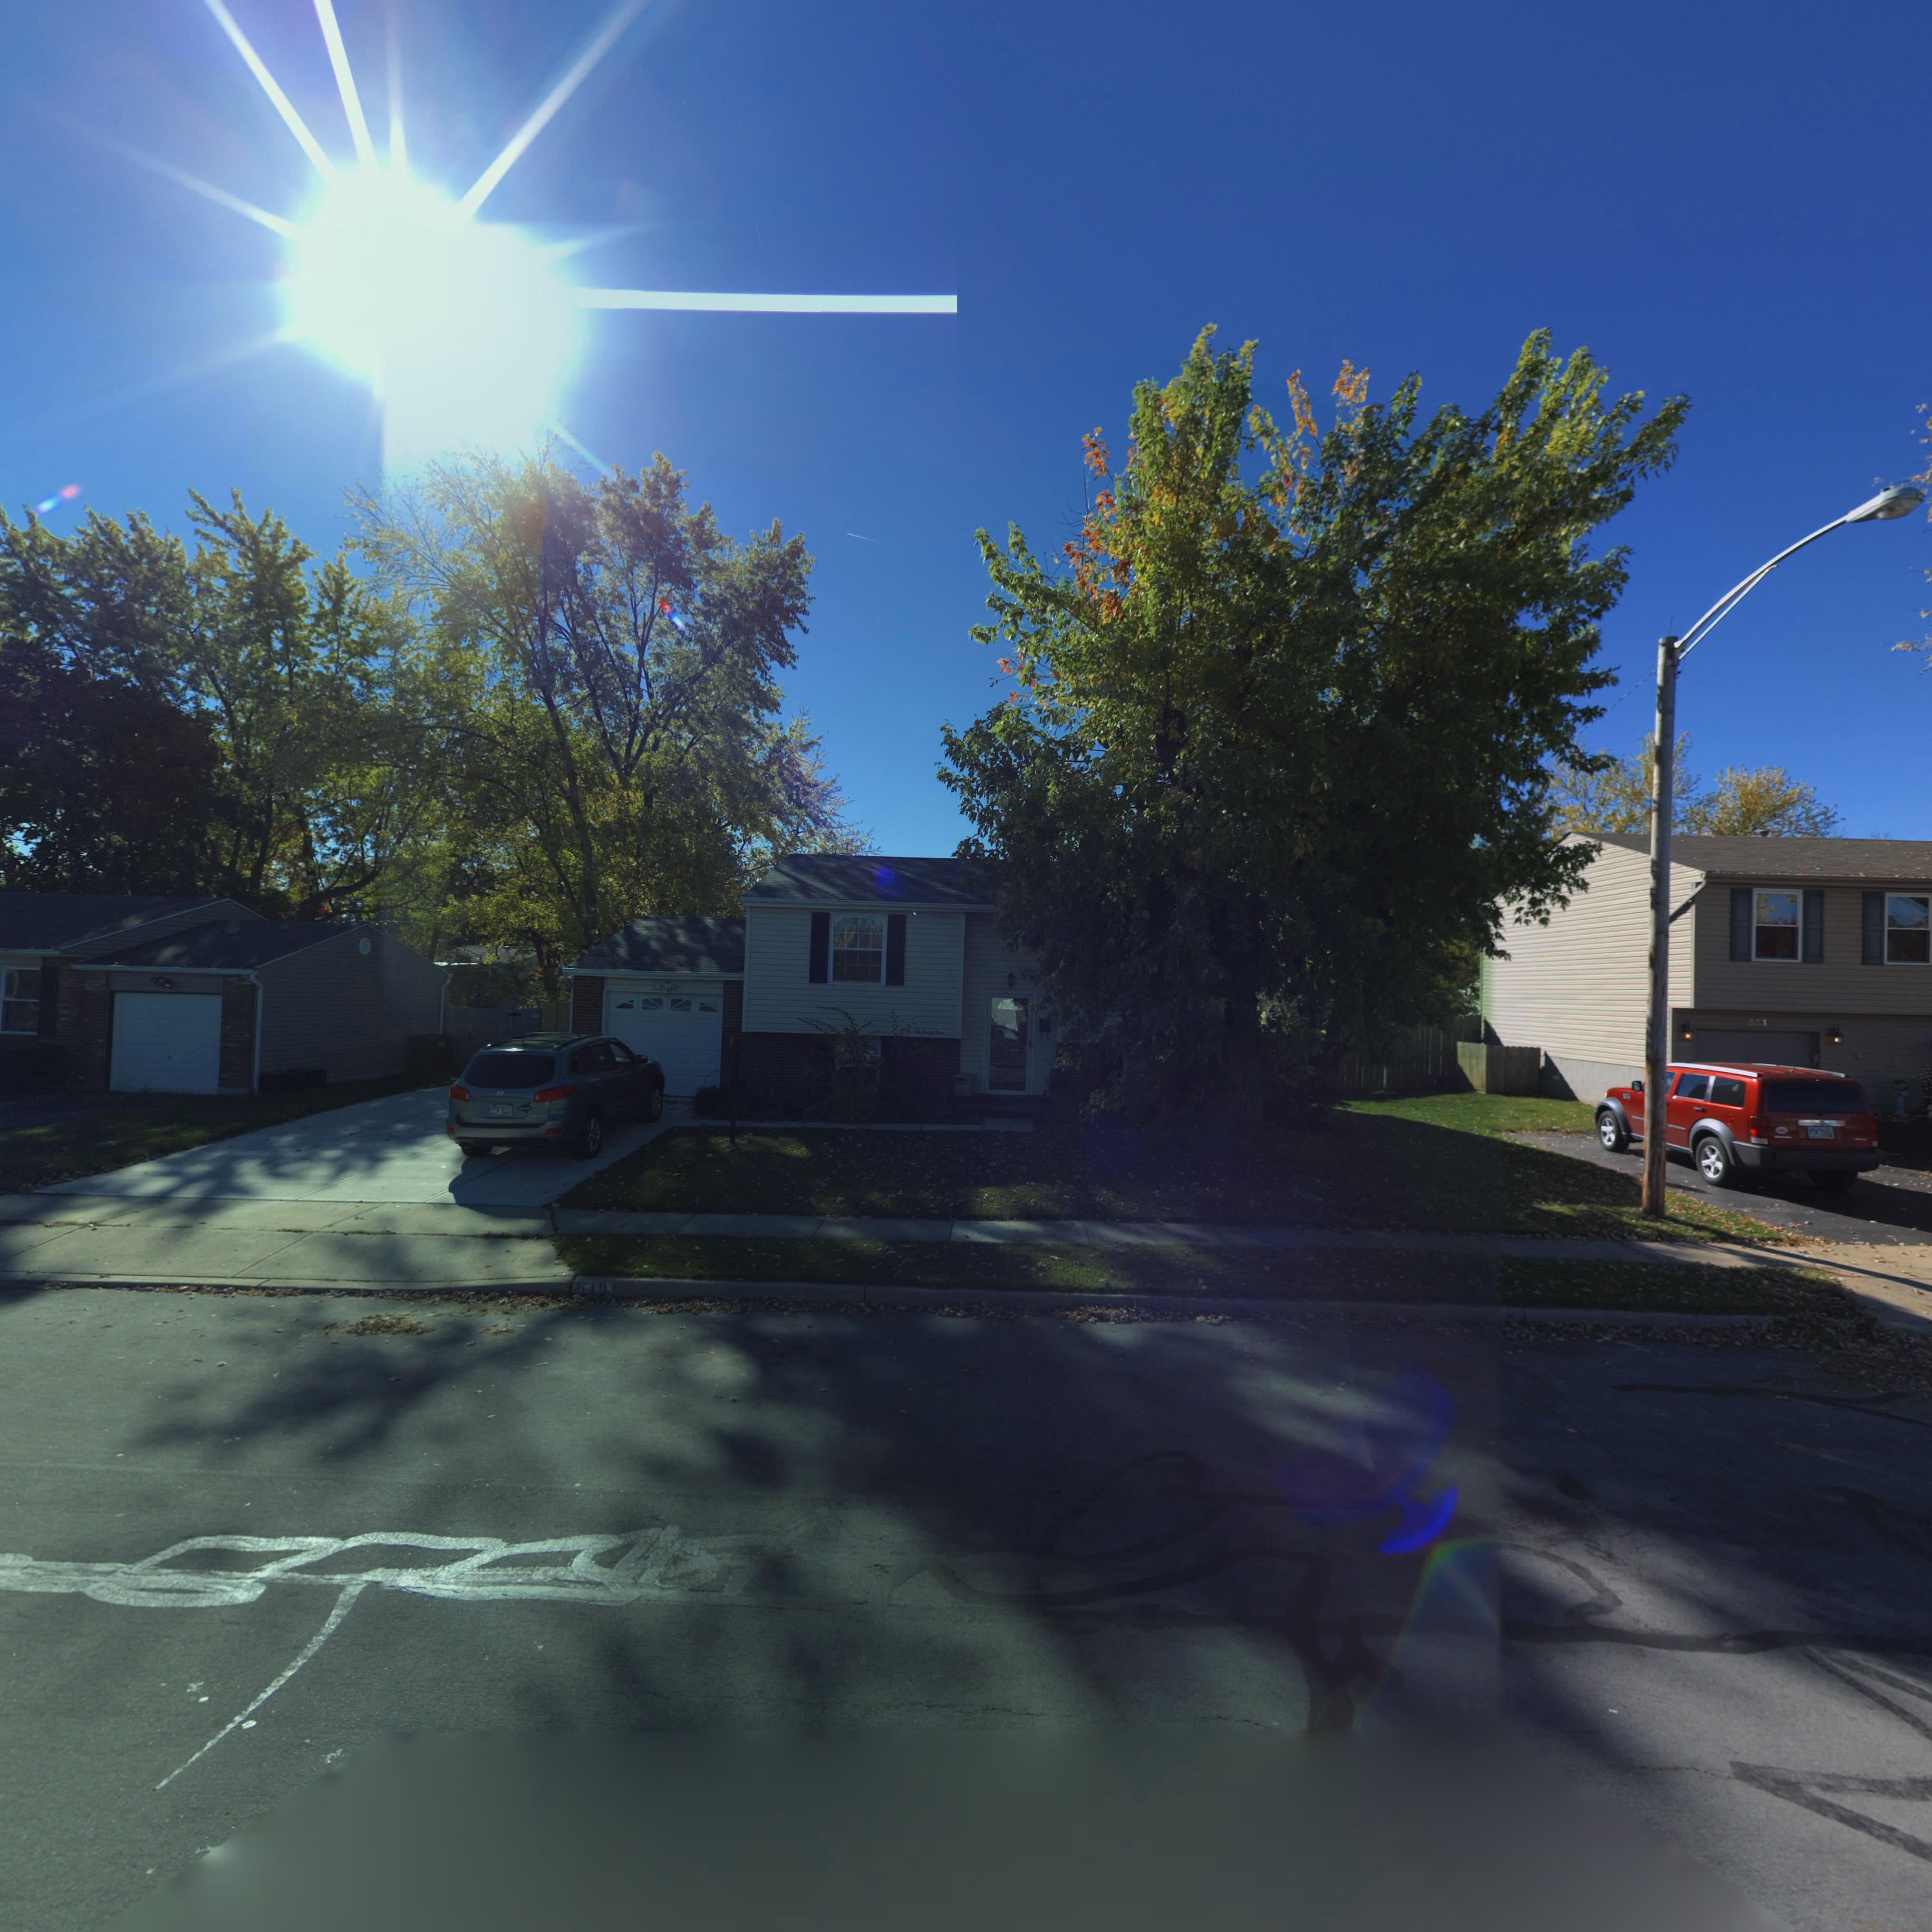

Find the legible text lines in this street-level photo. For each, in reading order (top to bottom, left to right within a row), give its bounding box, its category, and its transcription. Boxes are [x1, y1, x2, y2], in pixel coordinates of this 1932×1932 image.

[1748, 1018, 1767, 1026] StreetNumber: 651
[912, 1029, 945, 1036] StreetNumber: Six Forty Nine
[576, 1282, 608, 1296] StreetNumber: 649